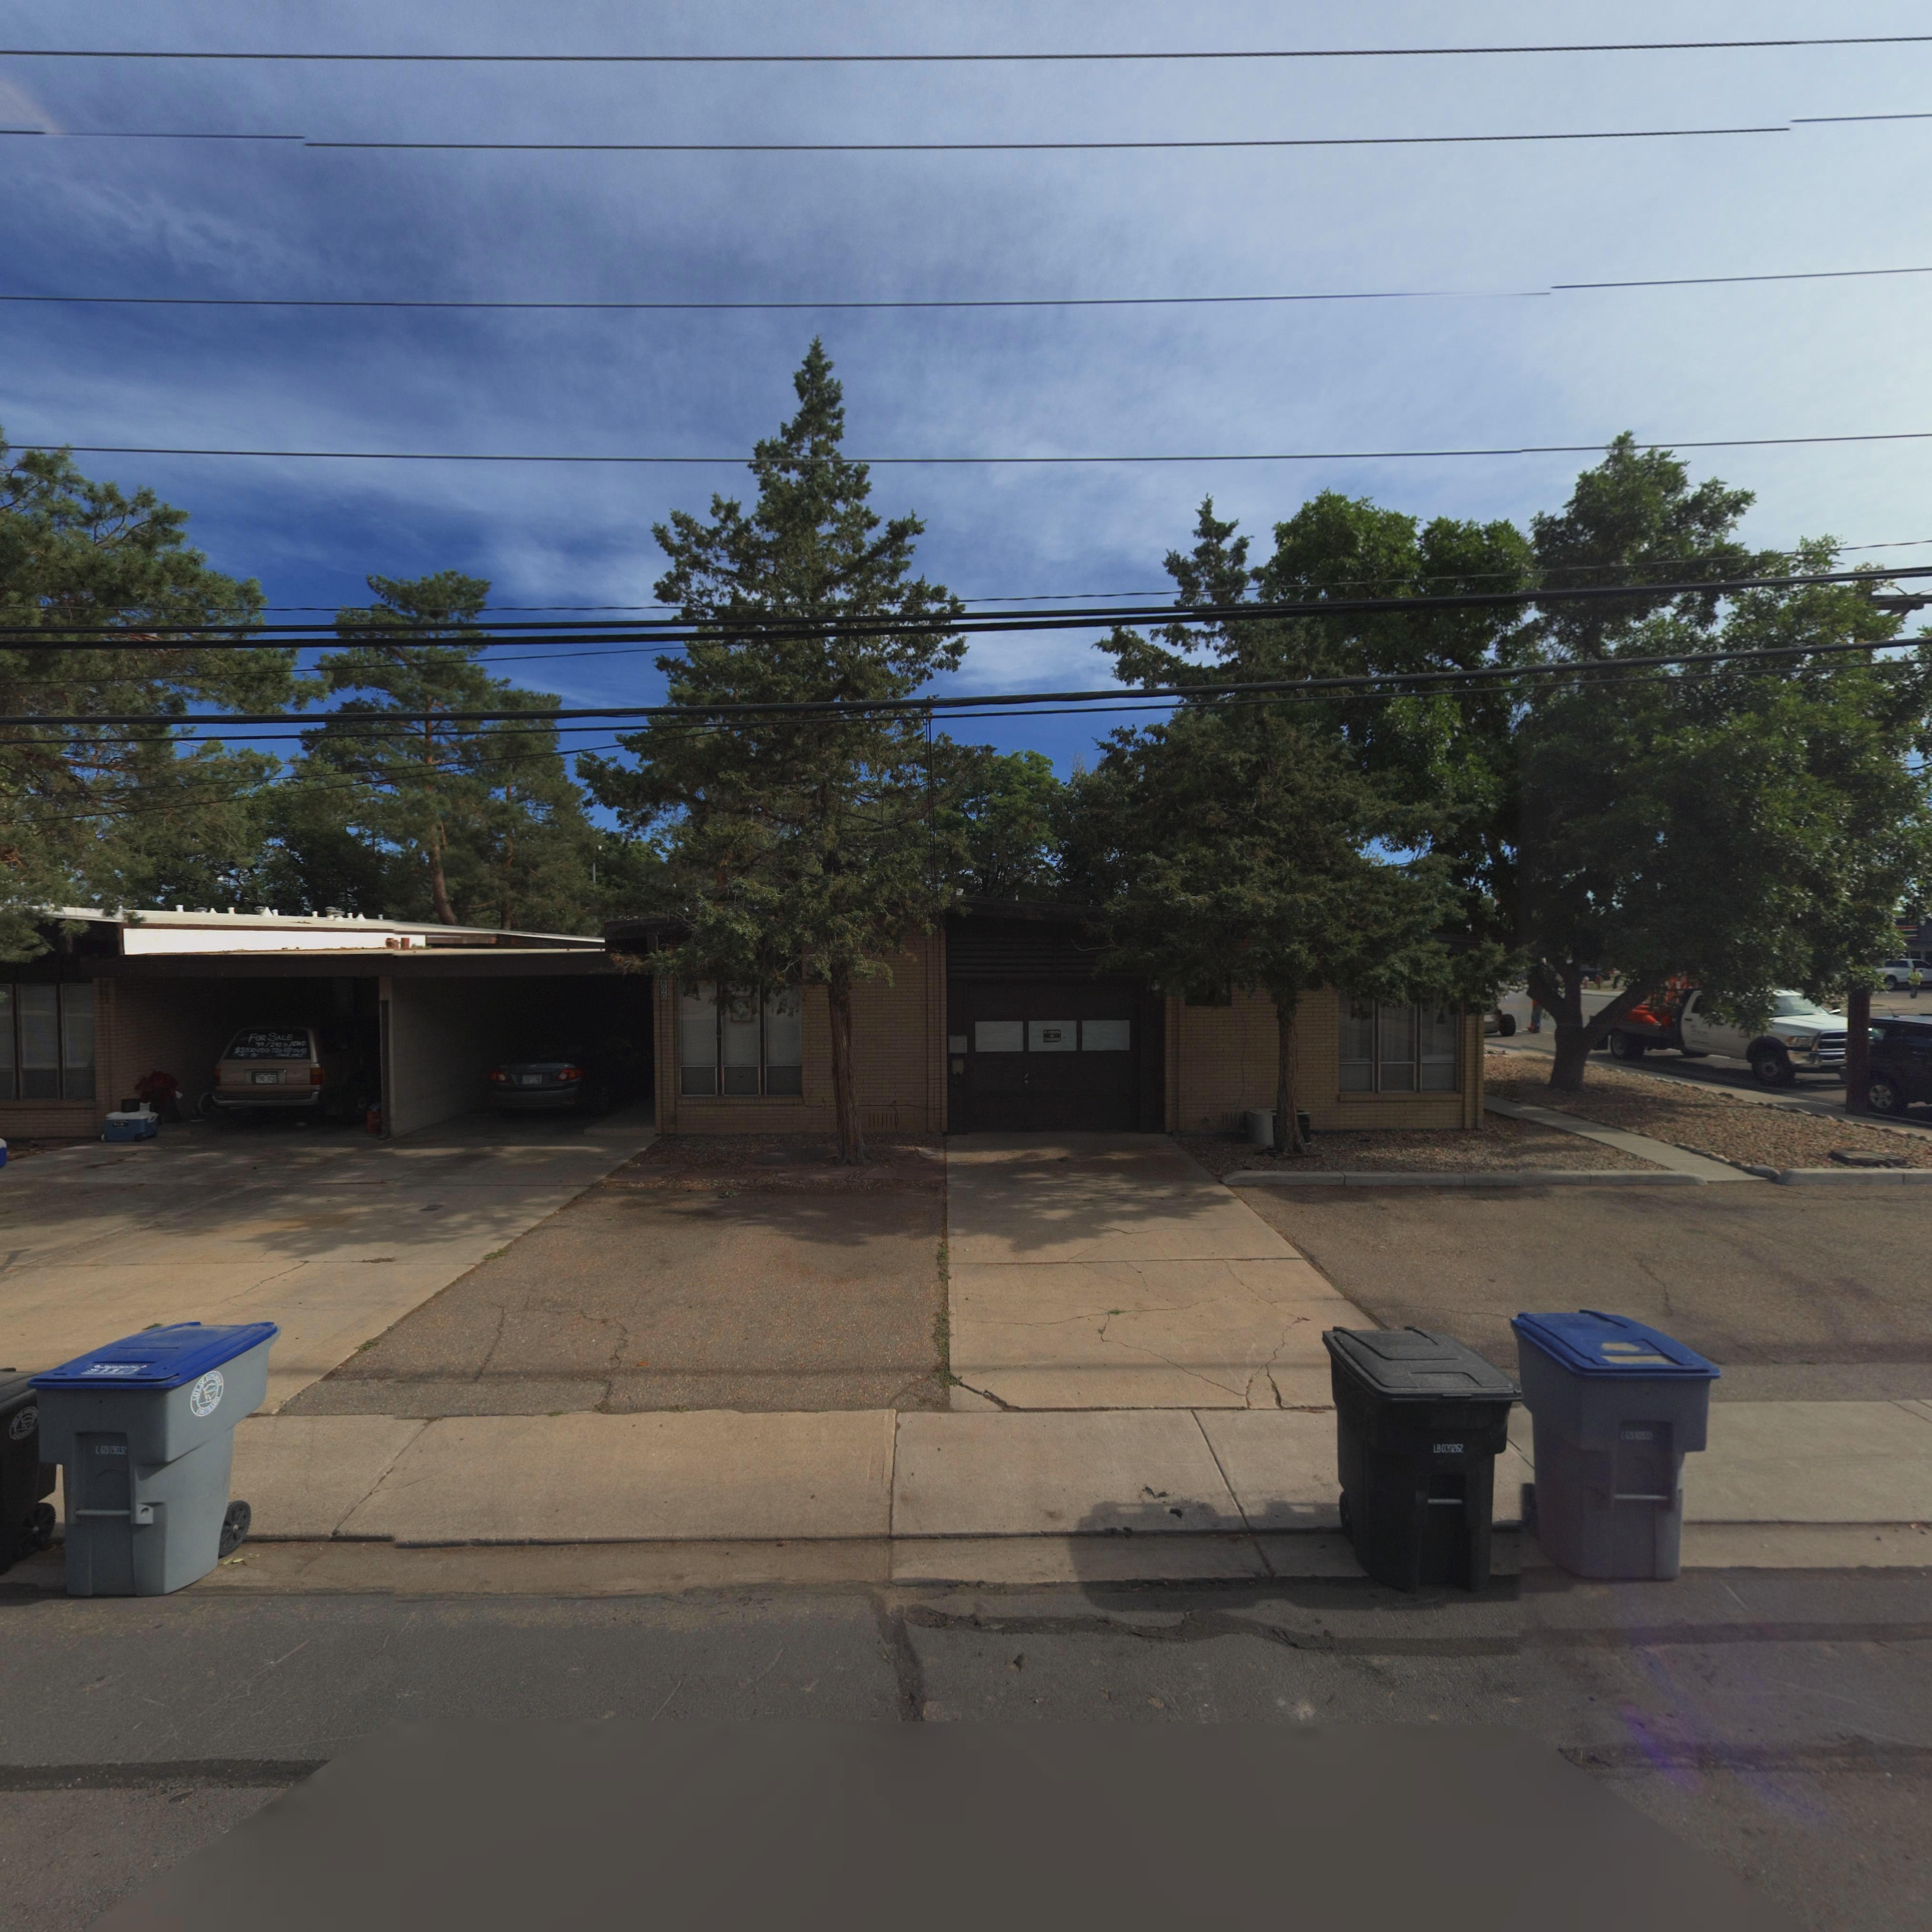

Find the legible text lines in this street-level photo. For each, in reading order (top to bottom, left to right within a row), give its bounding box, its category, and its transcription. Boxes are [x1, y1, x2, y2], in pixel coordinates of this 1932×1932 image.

[661, 978, 667, 999] StreetNumber: 800